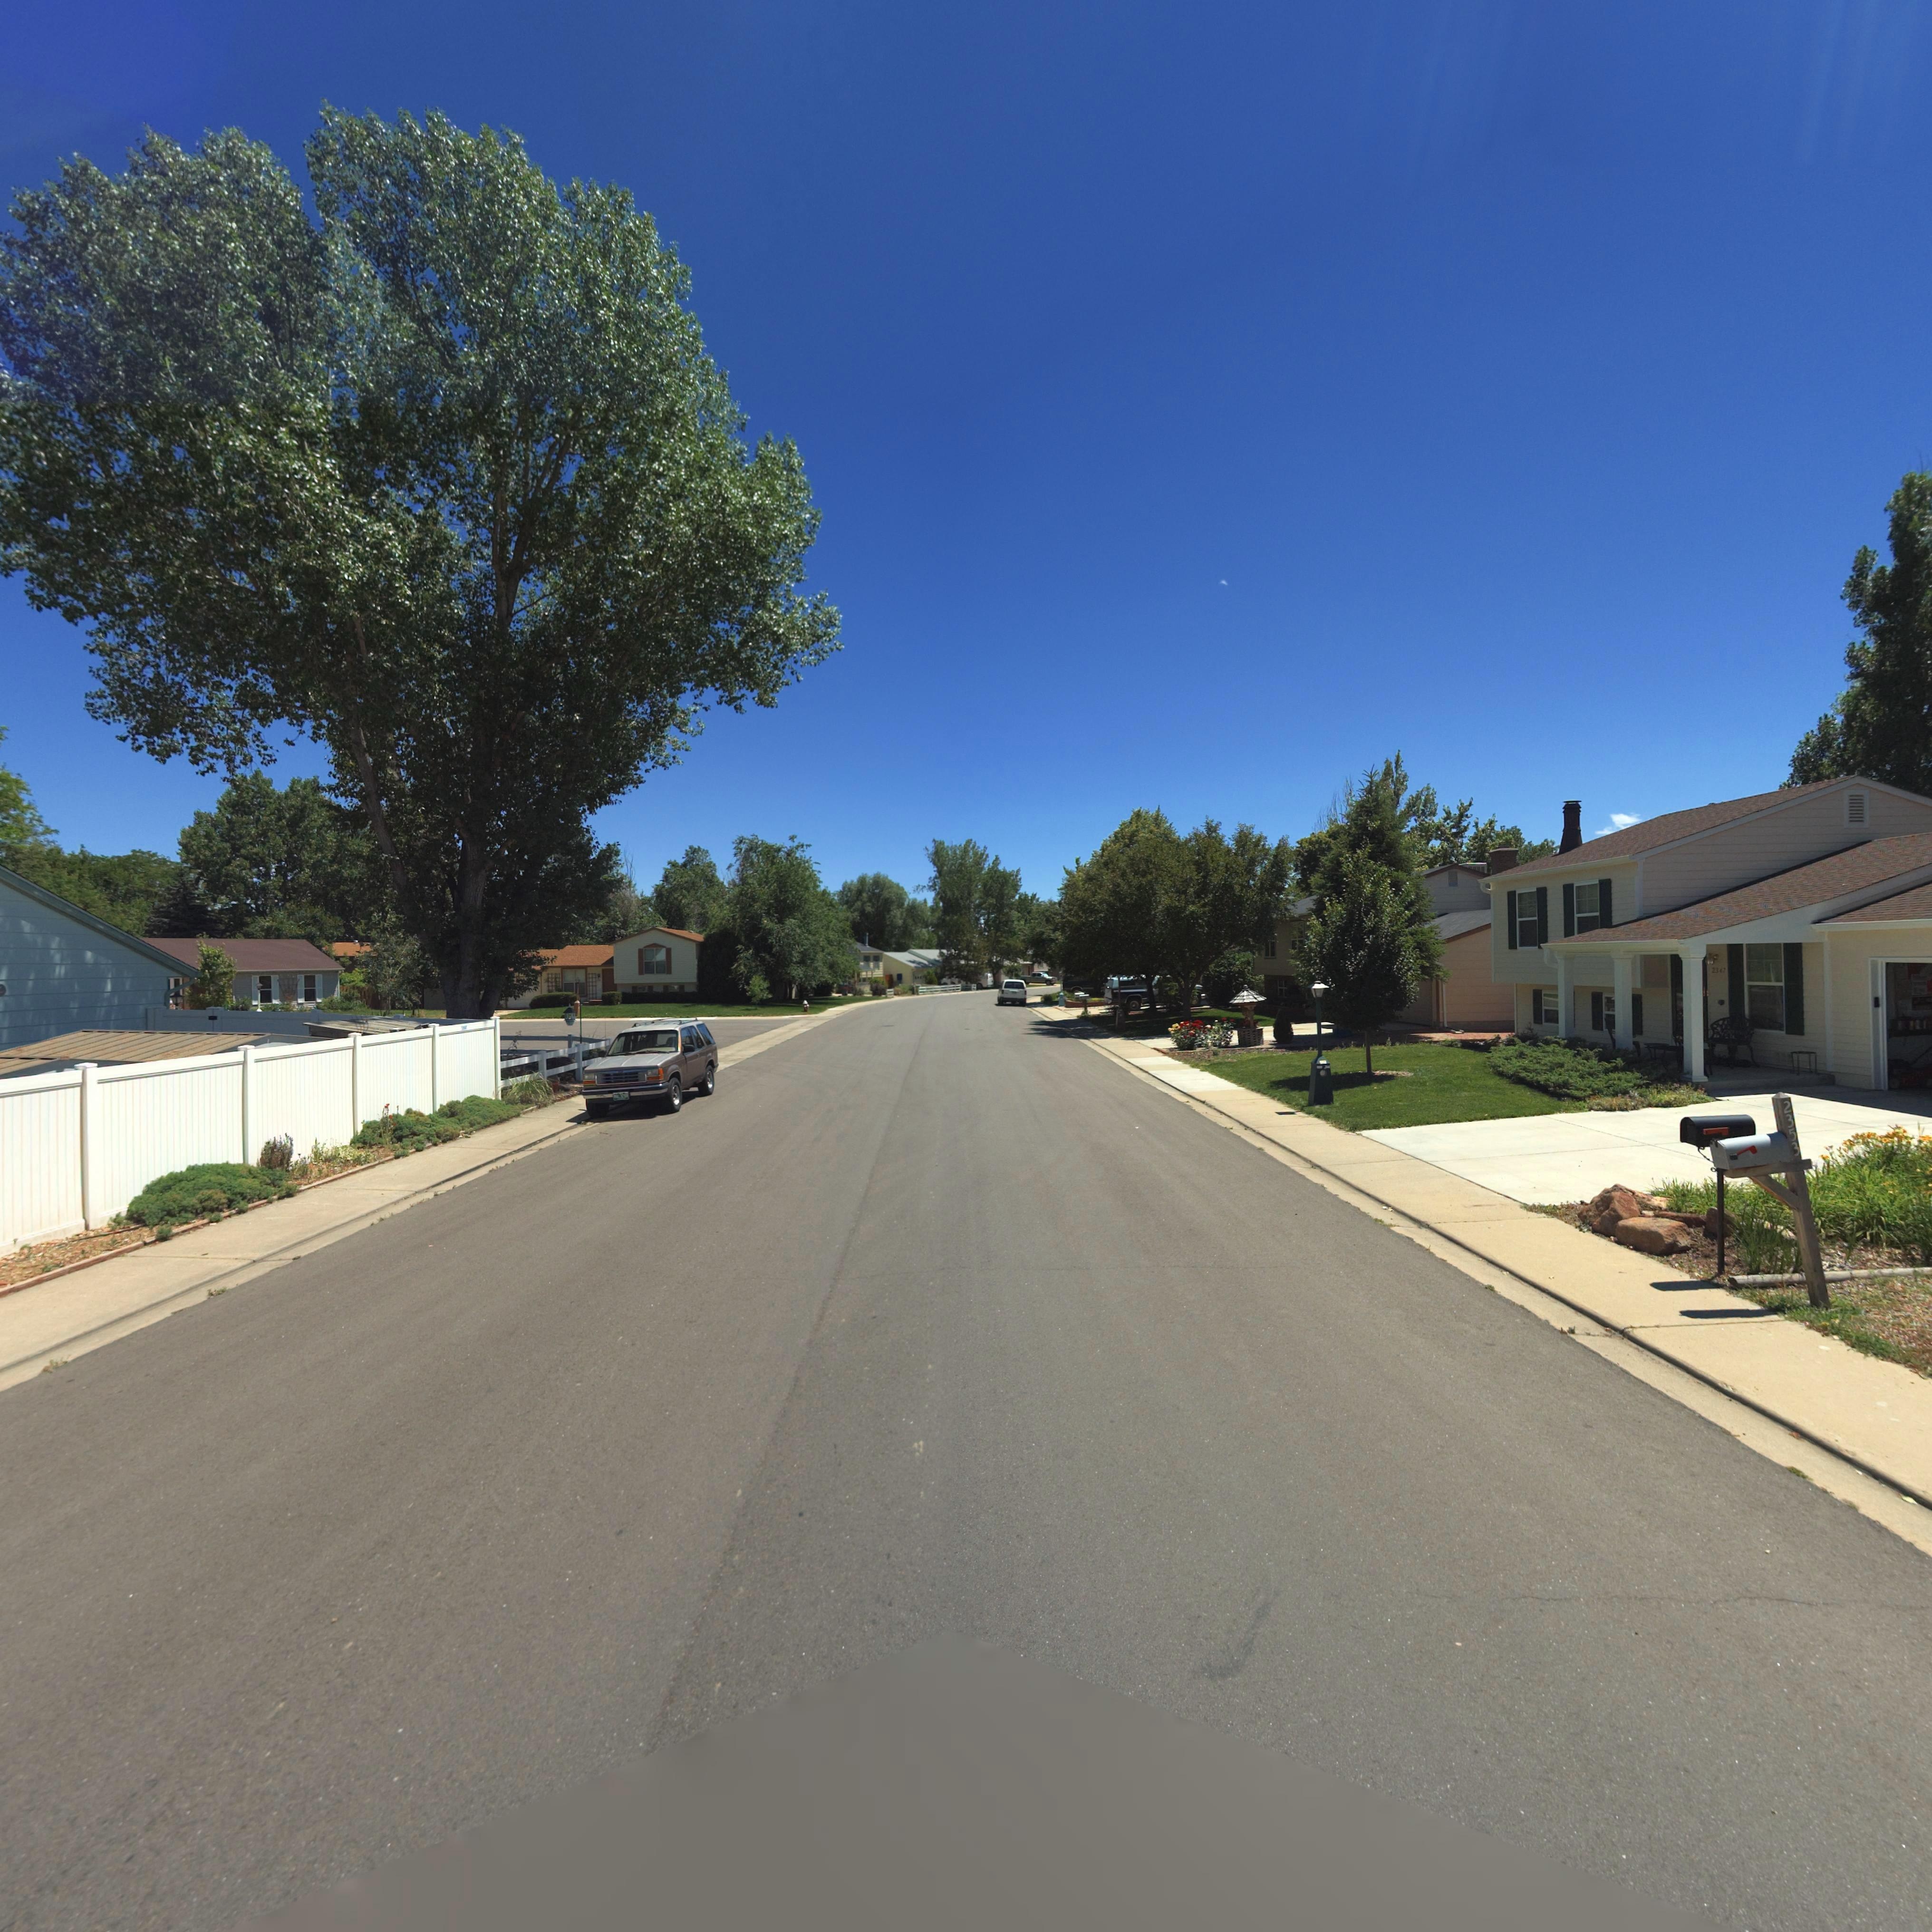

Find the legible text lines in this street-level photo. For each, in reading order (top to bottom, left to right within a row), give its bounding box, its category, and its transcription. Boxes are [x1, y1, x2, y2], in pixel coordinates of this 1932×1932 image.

[1711, 966, 1726, 974] StreetNumber: 2347
[1782, 1099, 1801, 1158] StreetNumber: 2353